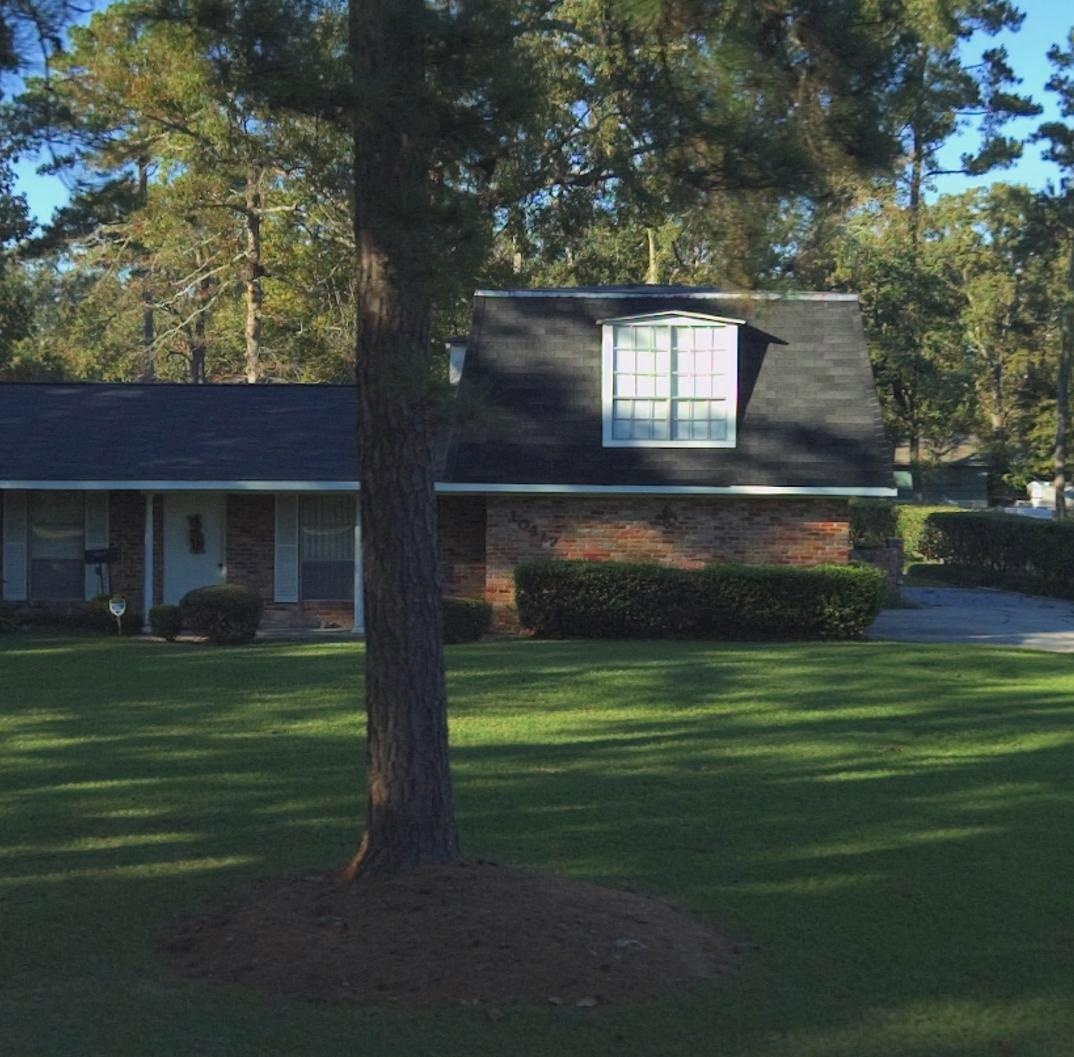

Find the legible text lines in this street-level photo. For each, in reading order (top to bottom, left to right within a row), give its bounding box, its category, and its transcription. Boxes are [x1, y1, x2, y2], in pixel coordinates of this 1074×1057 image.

[507, 508, 563, 551] StreetNumber: 10417